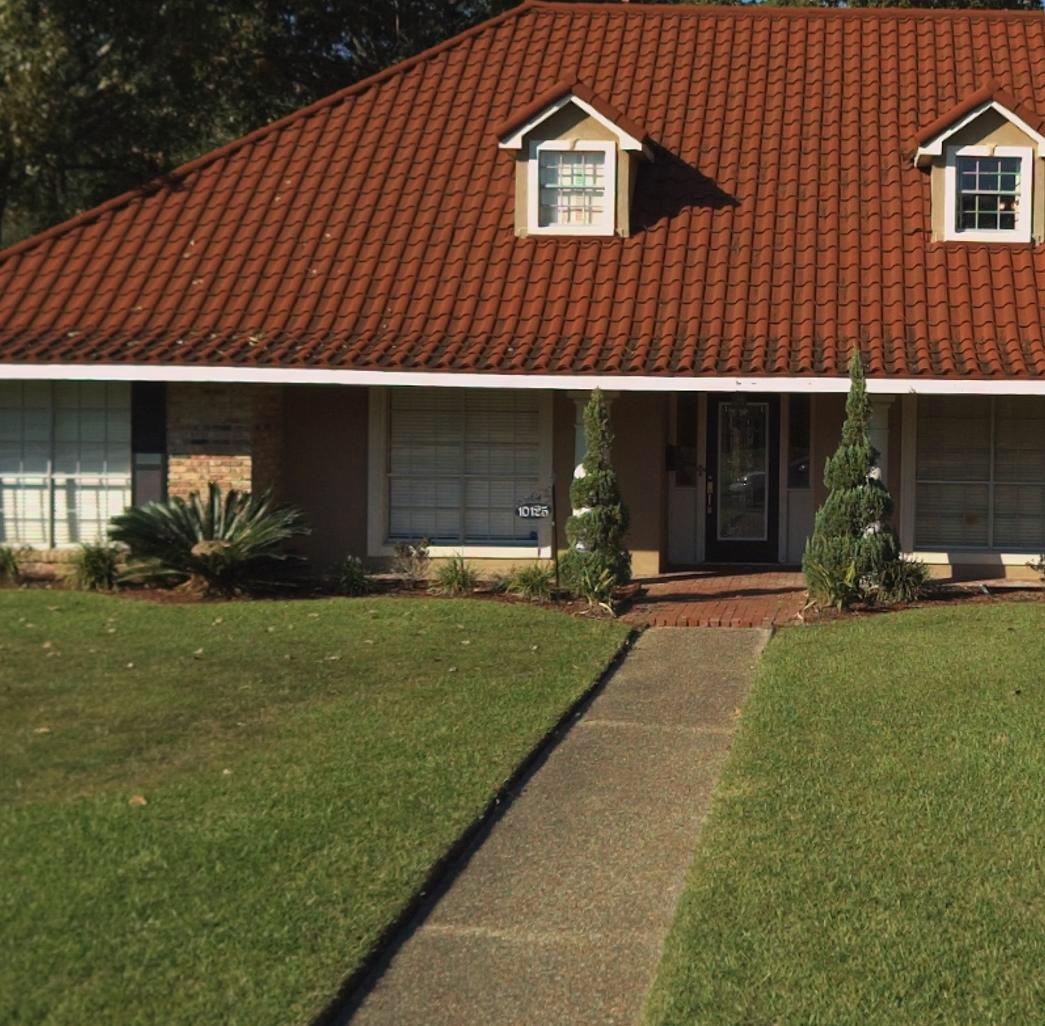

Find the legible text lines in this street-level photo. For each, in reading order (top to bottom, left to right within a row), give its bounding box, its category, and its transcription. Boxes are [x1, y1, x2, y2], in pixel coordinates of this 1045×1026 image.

[517, 505, 550, 518] StreetNumber: 10125